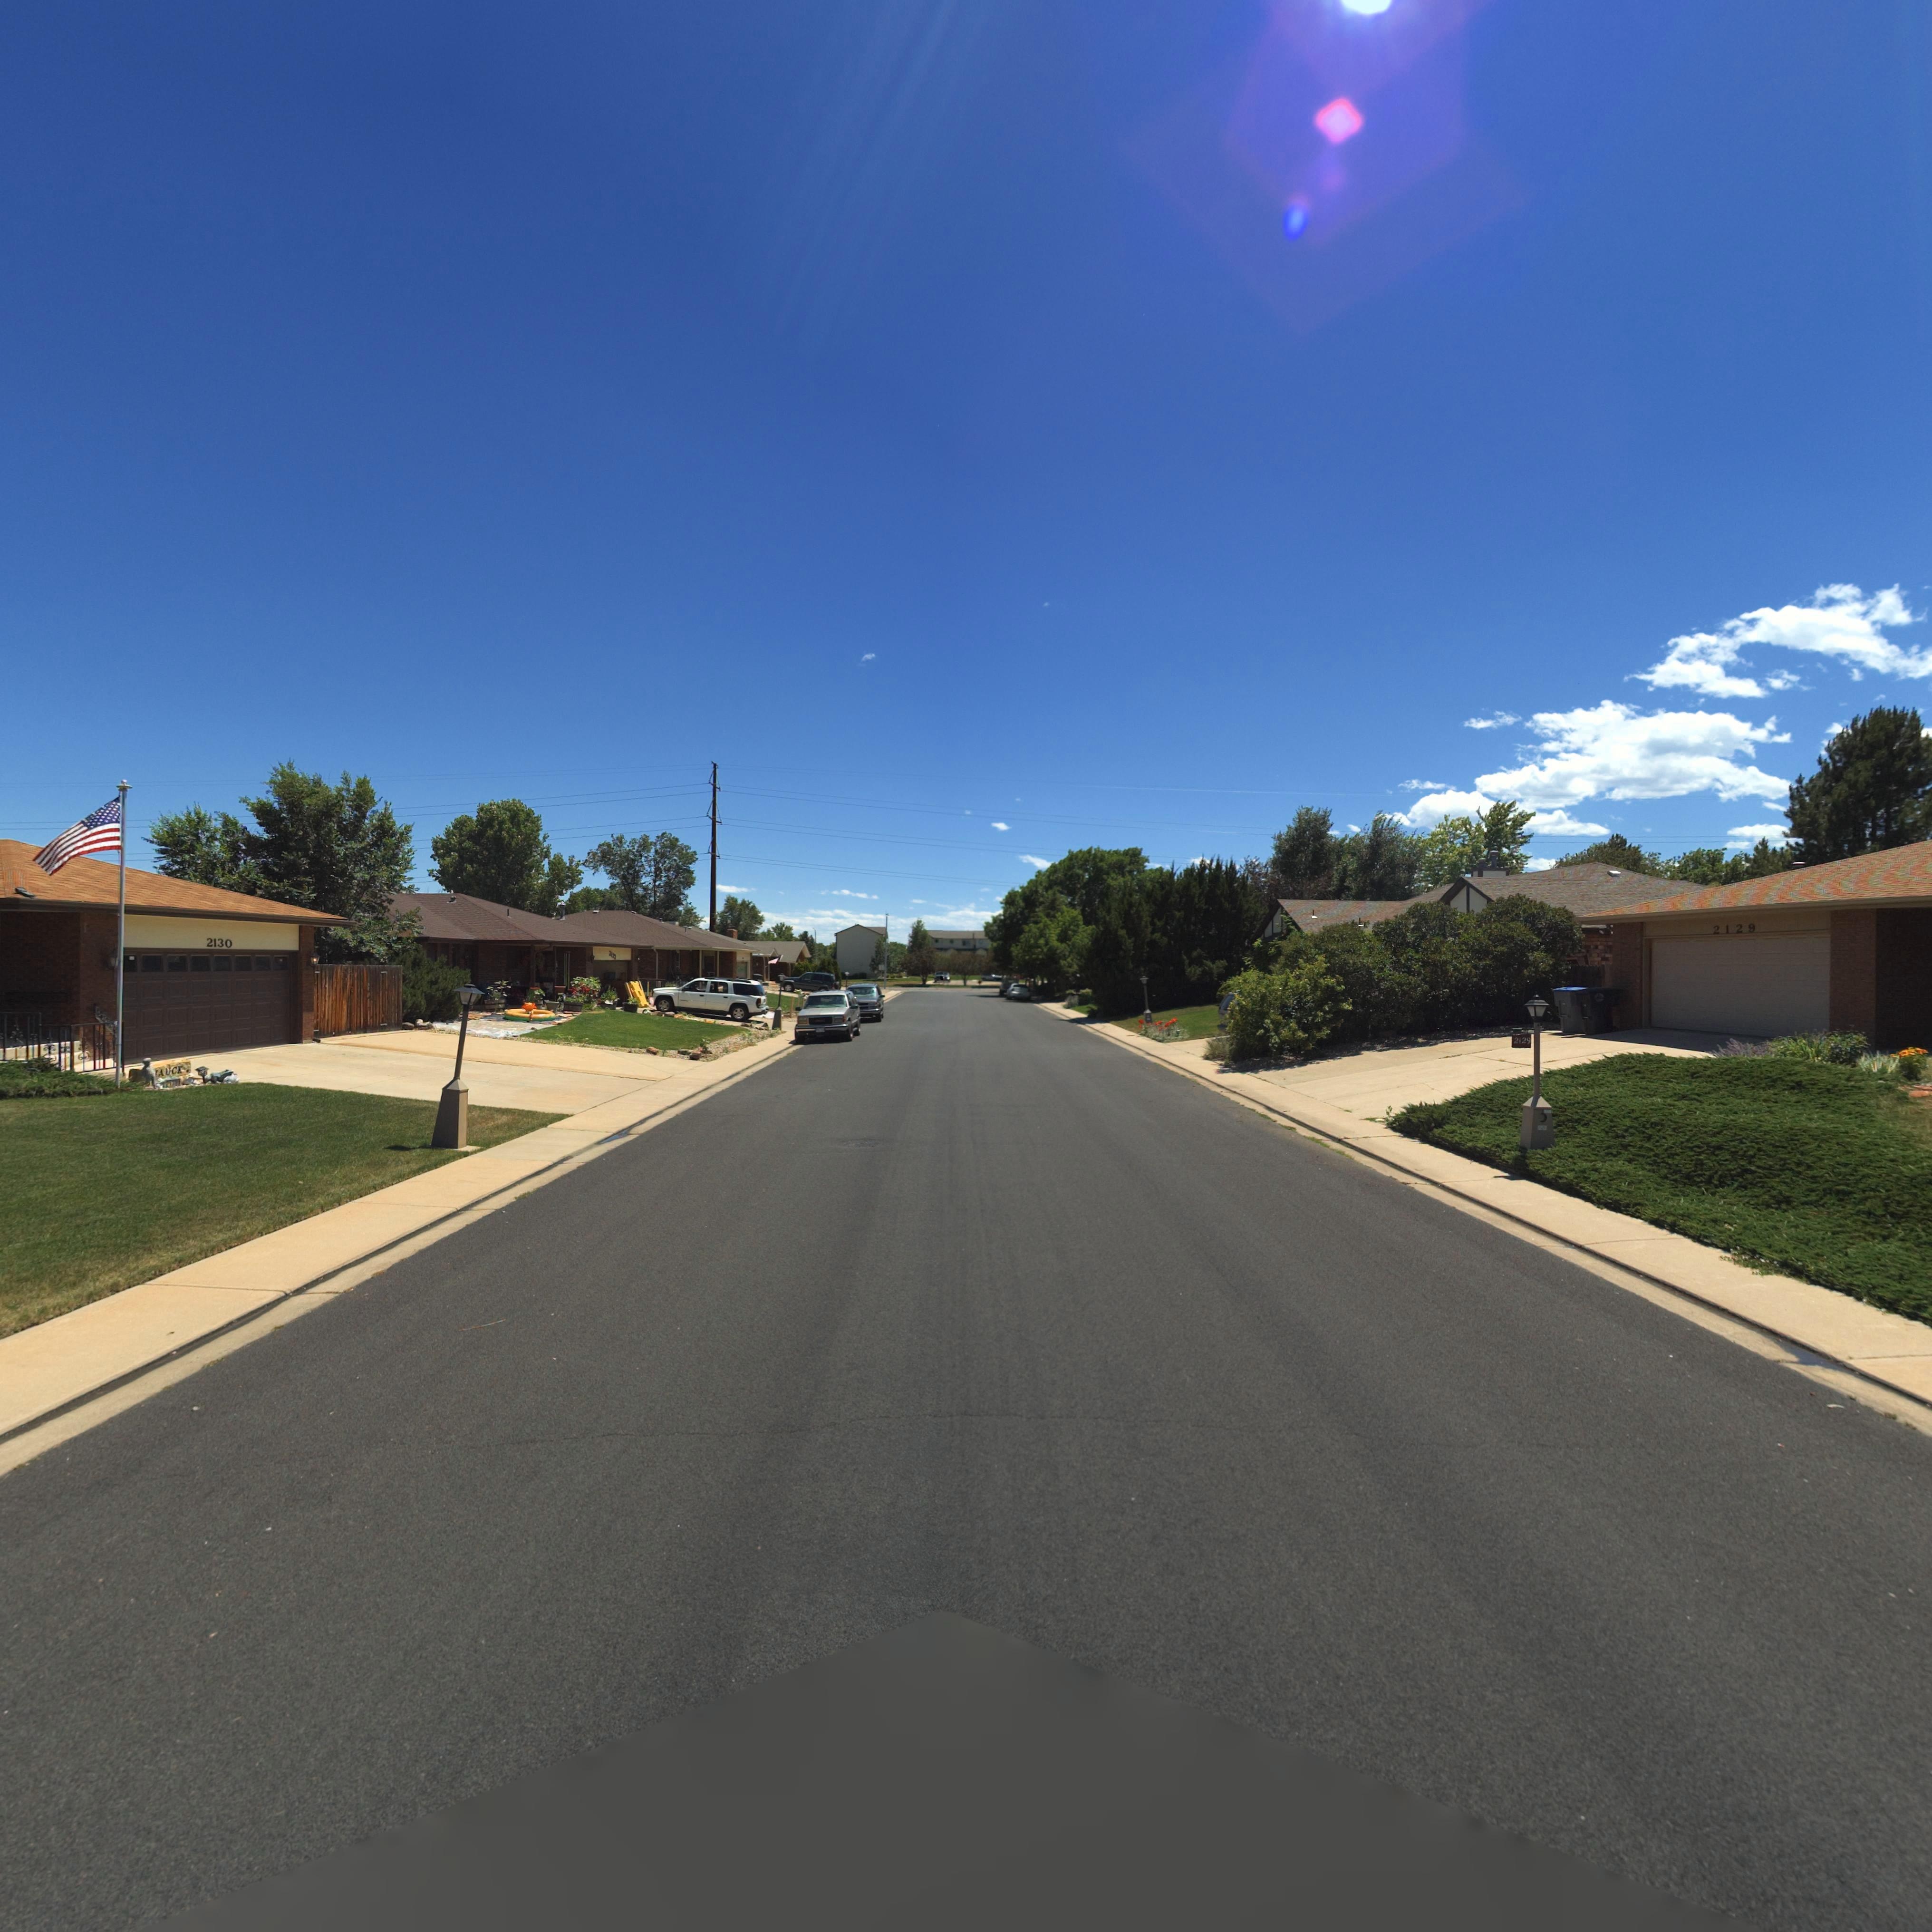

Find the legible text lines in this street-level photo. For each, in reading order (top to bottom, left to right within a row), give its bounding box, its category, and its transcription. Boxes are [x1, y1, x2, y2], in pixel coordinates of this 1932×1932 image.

[1712, 922, 1756, 935] StreetNumber: 2129
[206, 937, 232, 948] StreetNumber: 2130
[609, 950, 616, 959] StreetNumber: 212*
[1513, 1036, 1531, 1045] StreetNumber: 2129
[165, 1081, 177, 1087] StreetNumber: 21**